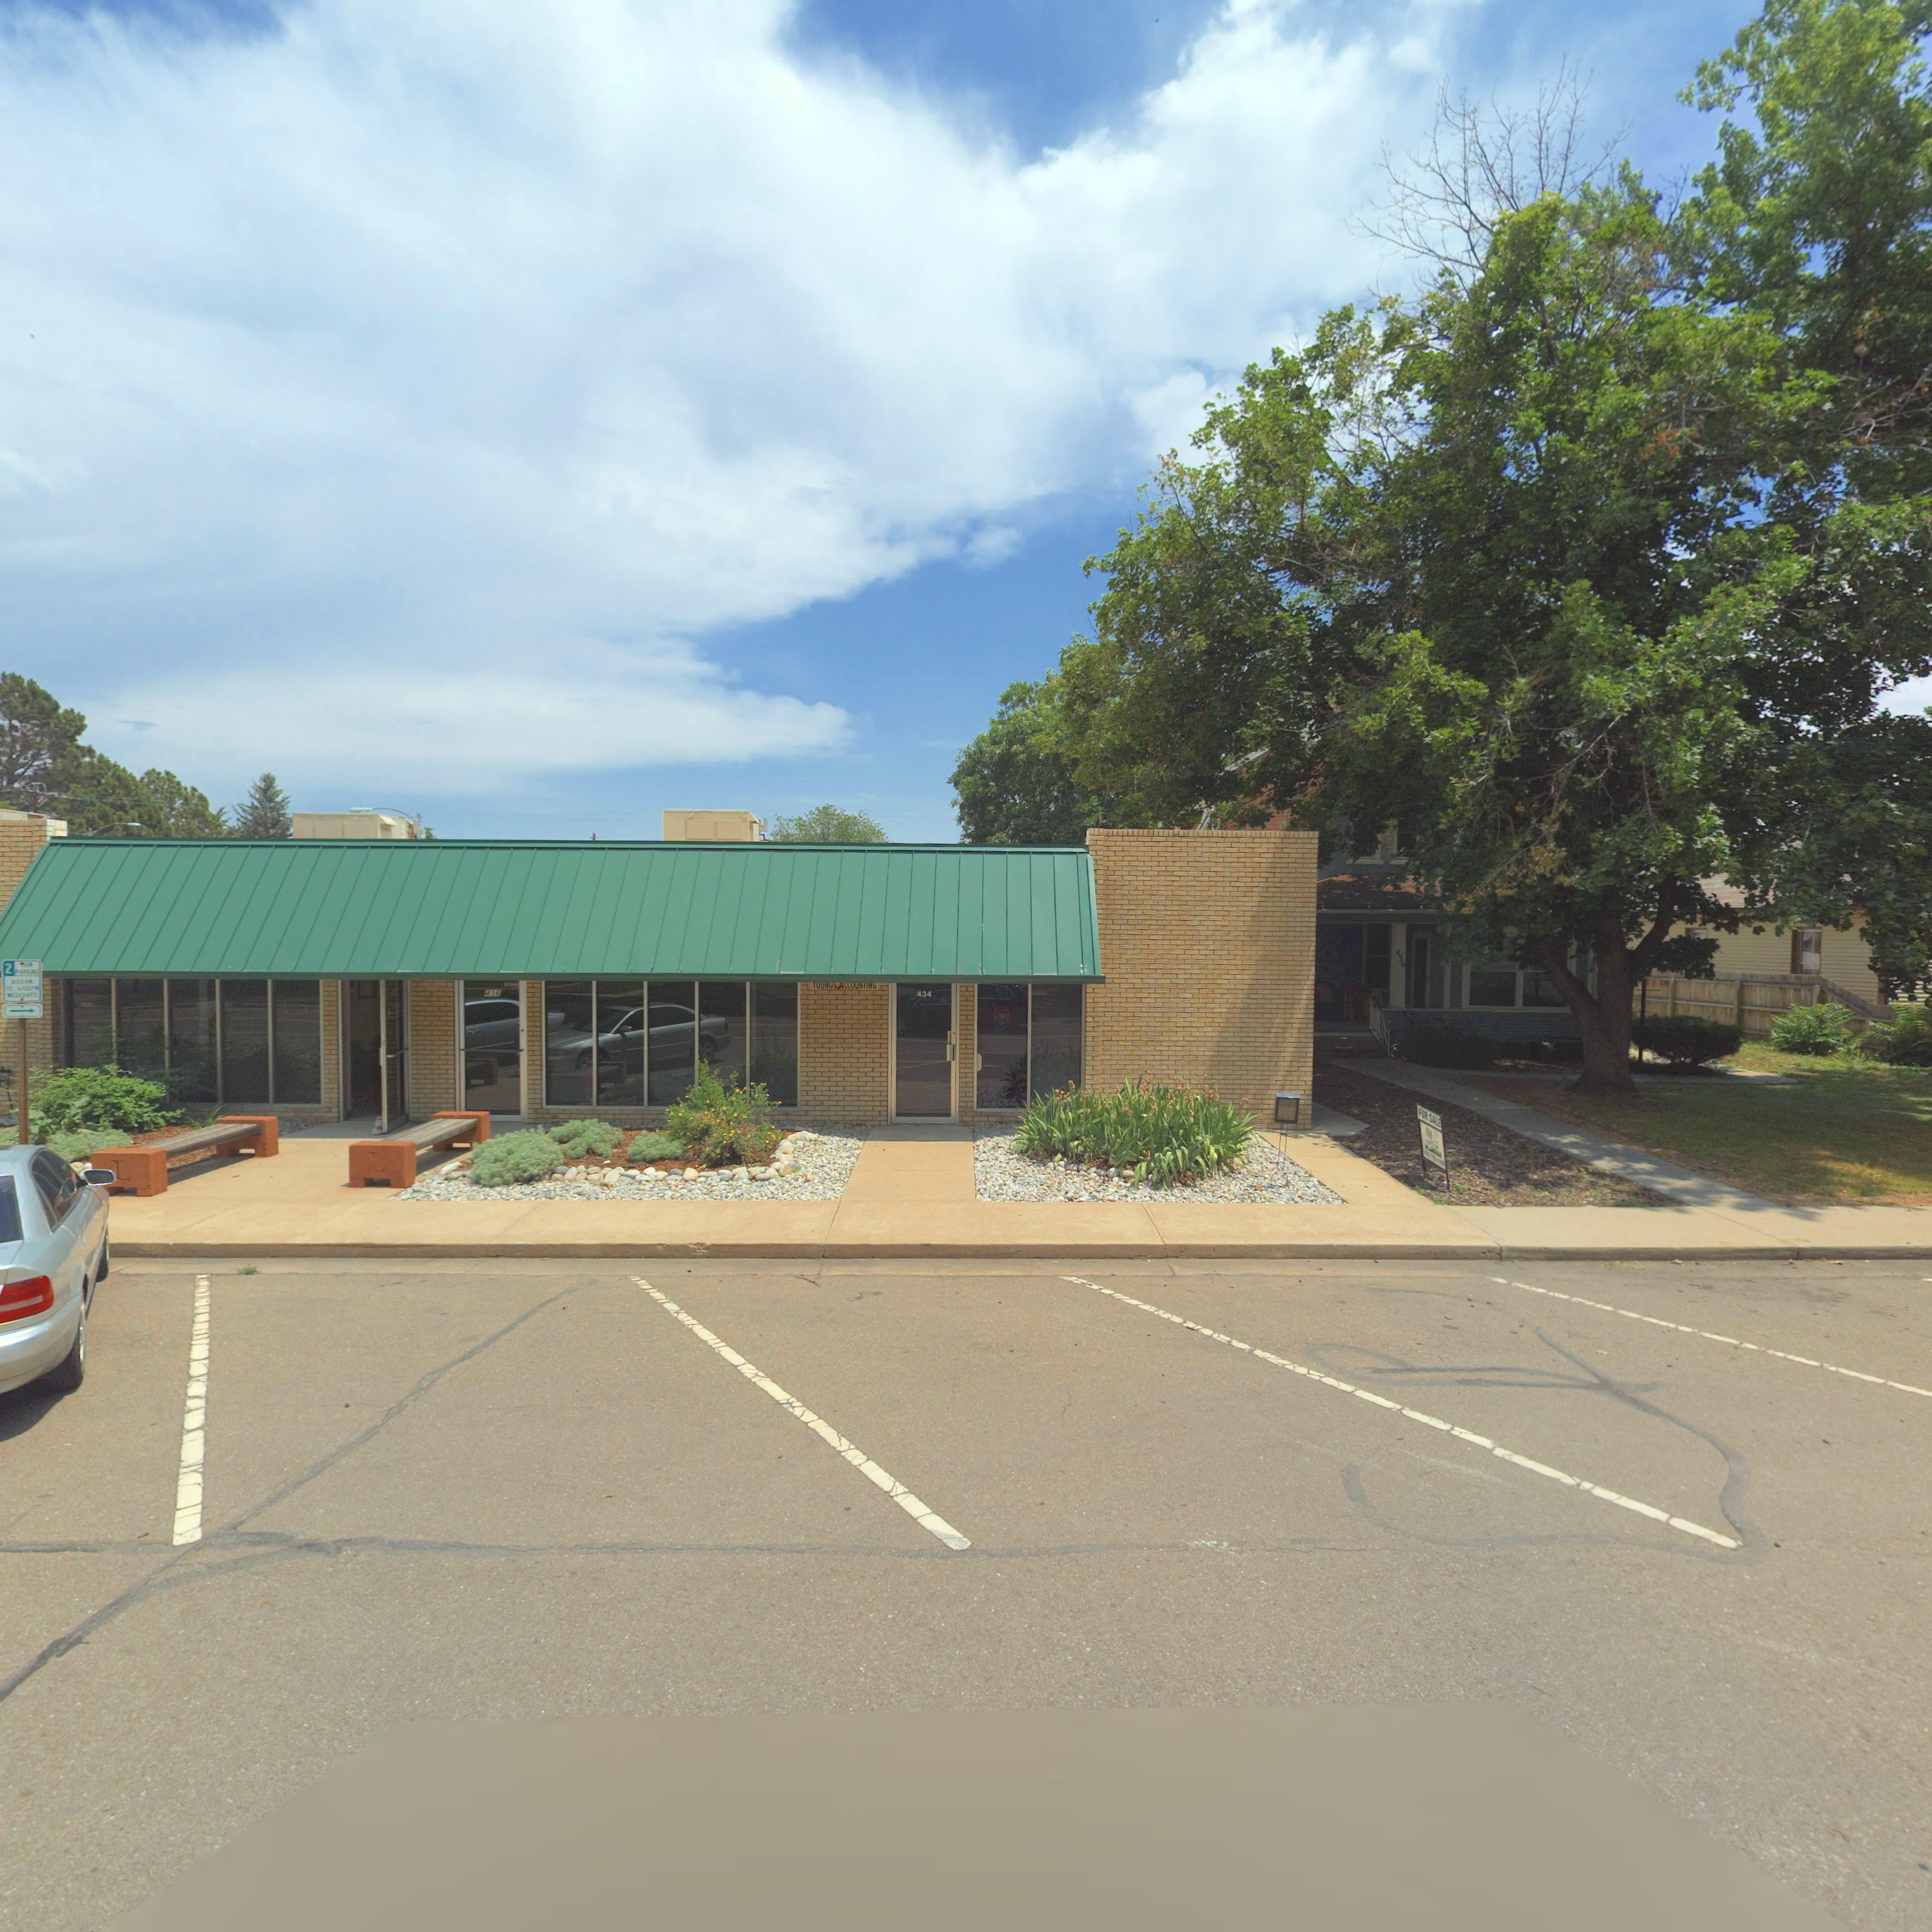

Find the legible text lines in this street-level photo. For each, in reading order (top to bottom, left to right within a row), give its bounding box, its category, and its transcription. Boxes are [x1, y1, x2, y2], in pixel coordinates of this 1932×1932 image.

[1395, 948, 1405, 968] StreetNumber: 430
[812, 982, 877, 989] BusinessName: *OUNGS ACCOUN*ING
[484, 990, 501, 996] StreetNumber: 436
[916, 990, 932, 997] StreetNumber: 434